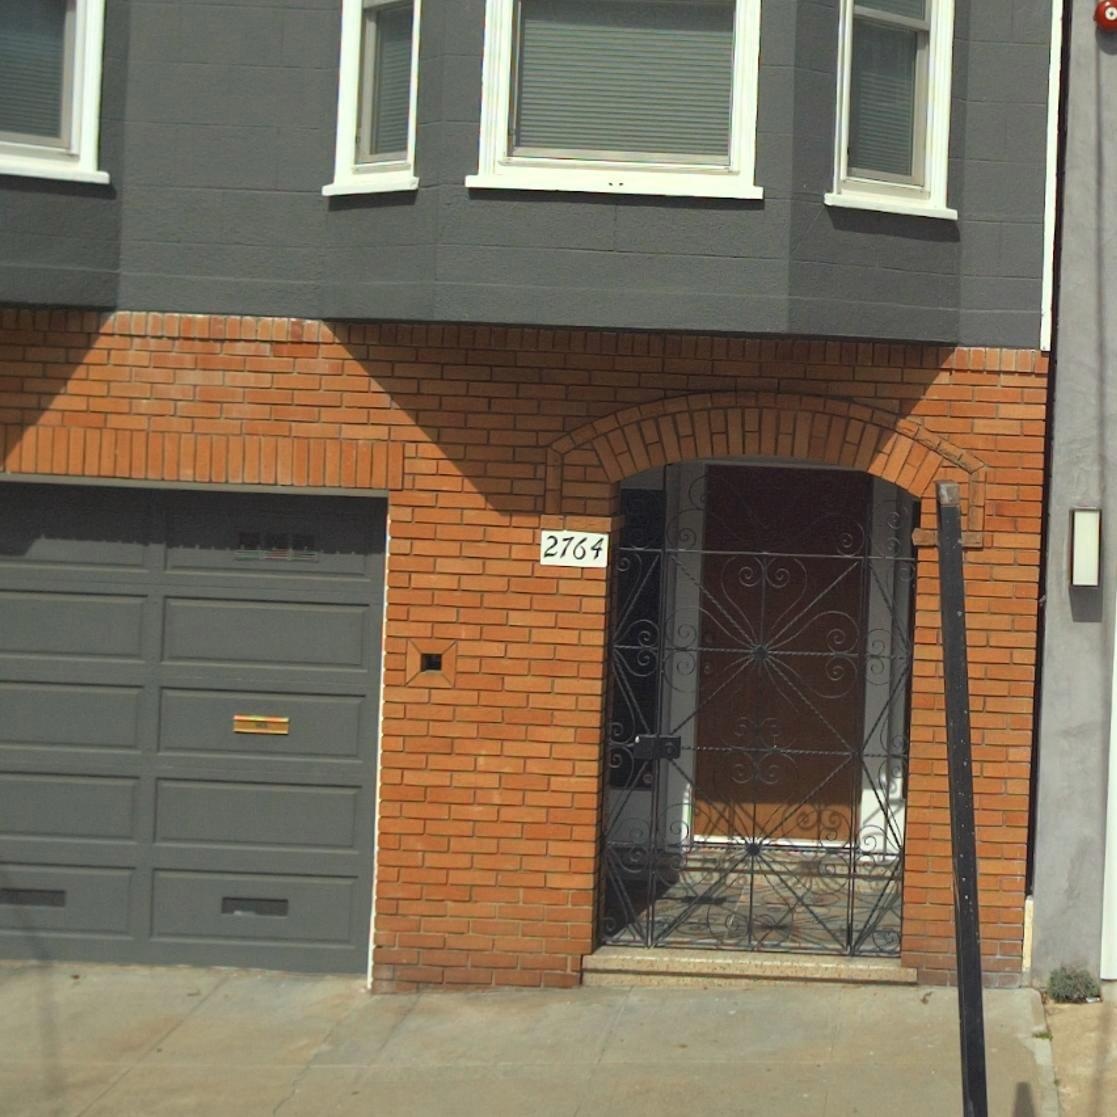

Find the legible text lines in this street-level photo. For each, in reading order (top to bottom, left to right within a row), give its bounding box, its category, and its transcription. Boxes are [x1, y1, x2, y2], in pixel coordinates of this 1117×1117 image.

[540, 532, 609, 564] StreetNumber: 2764